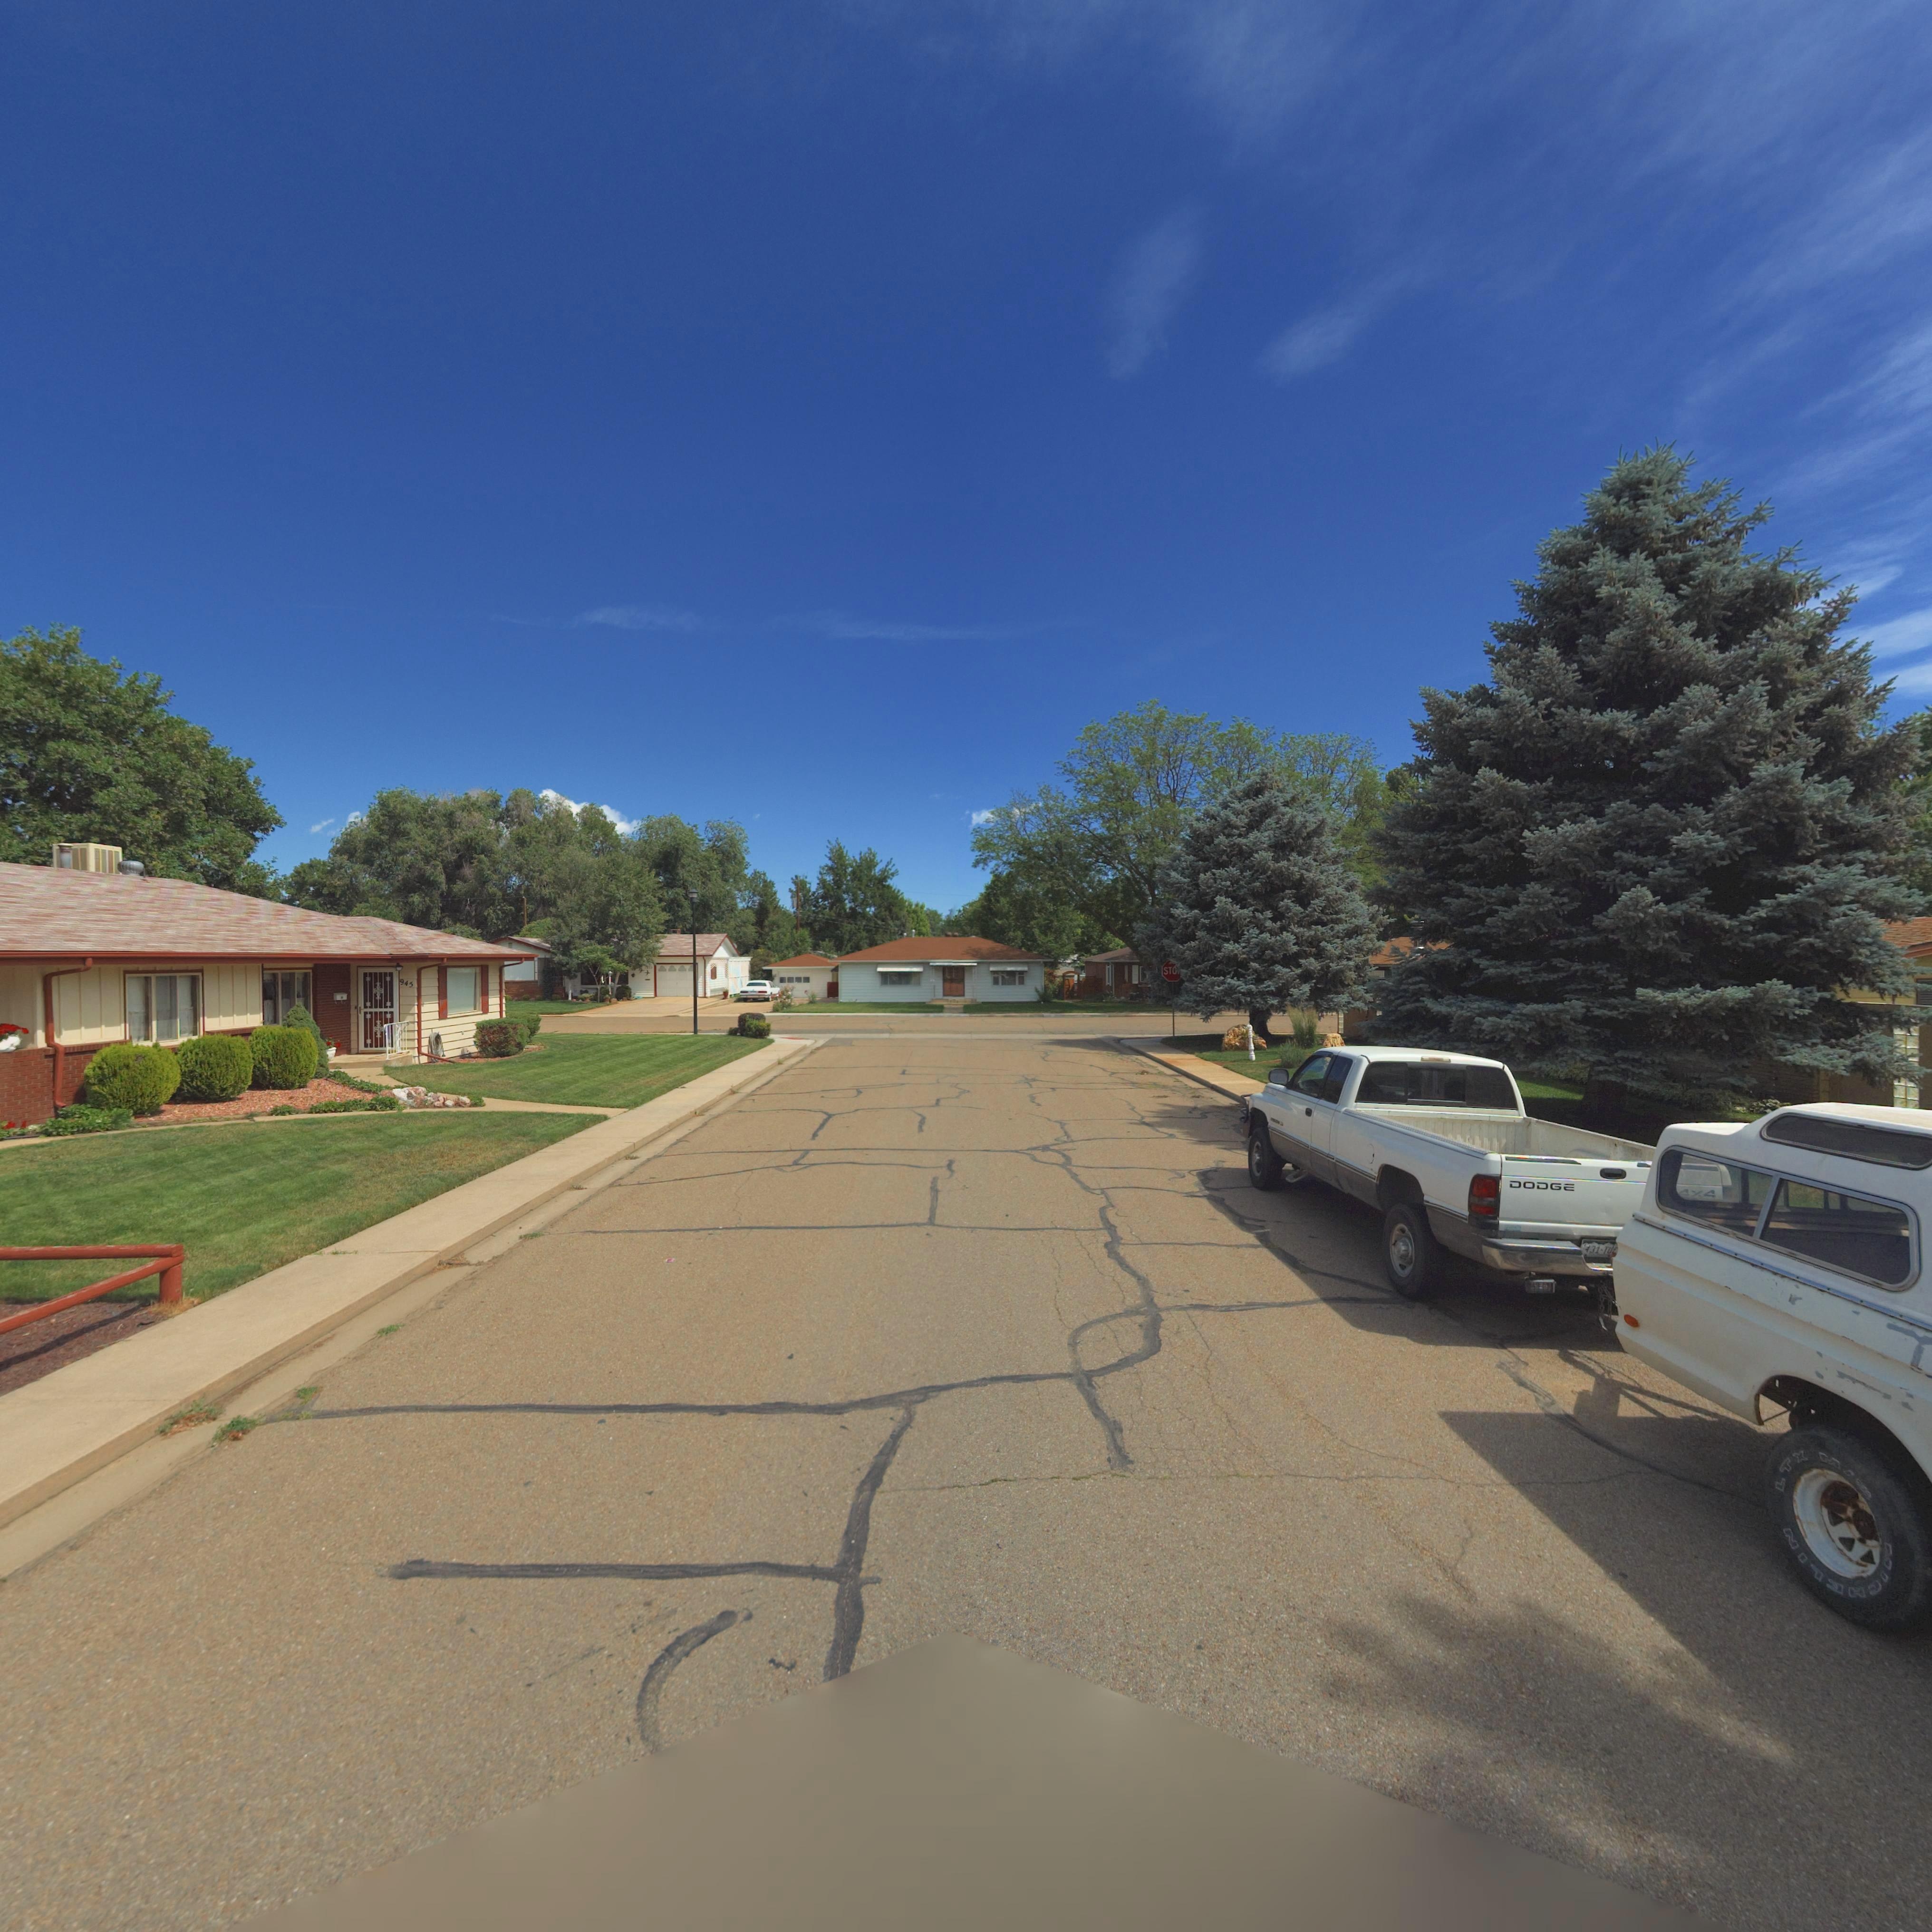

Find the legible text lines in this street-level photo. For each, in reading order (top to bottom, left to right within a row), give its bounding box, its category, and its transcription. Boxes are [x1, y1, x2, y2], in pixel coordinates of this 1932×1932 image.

[400, 978, 413, 987] StreetNumber: 945